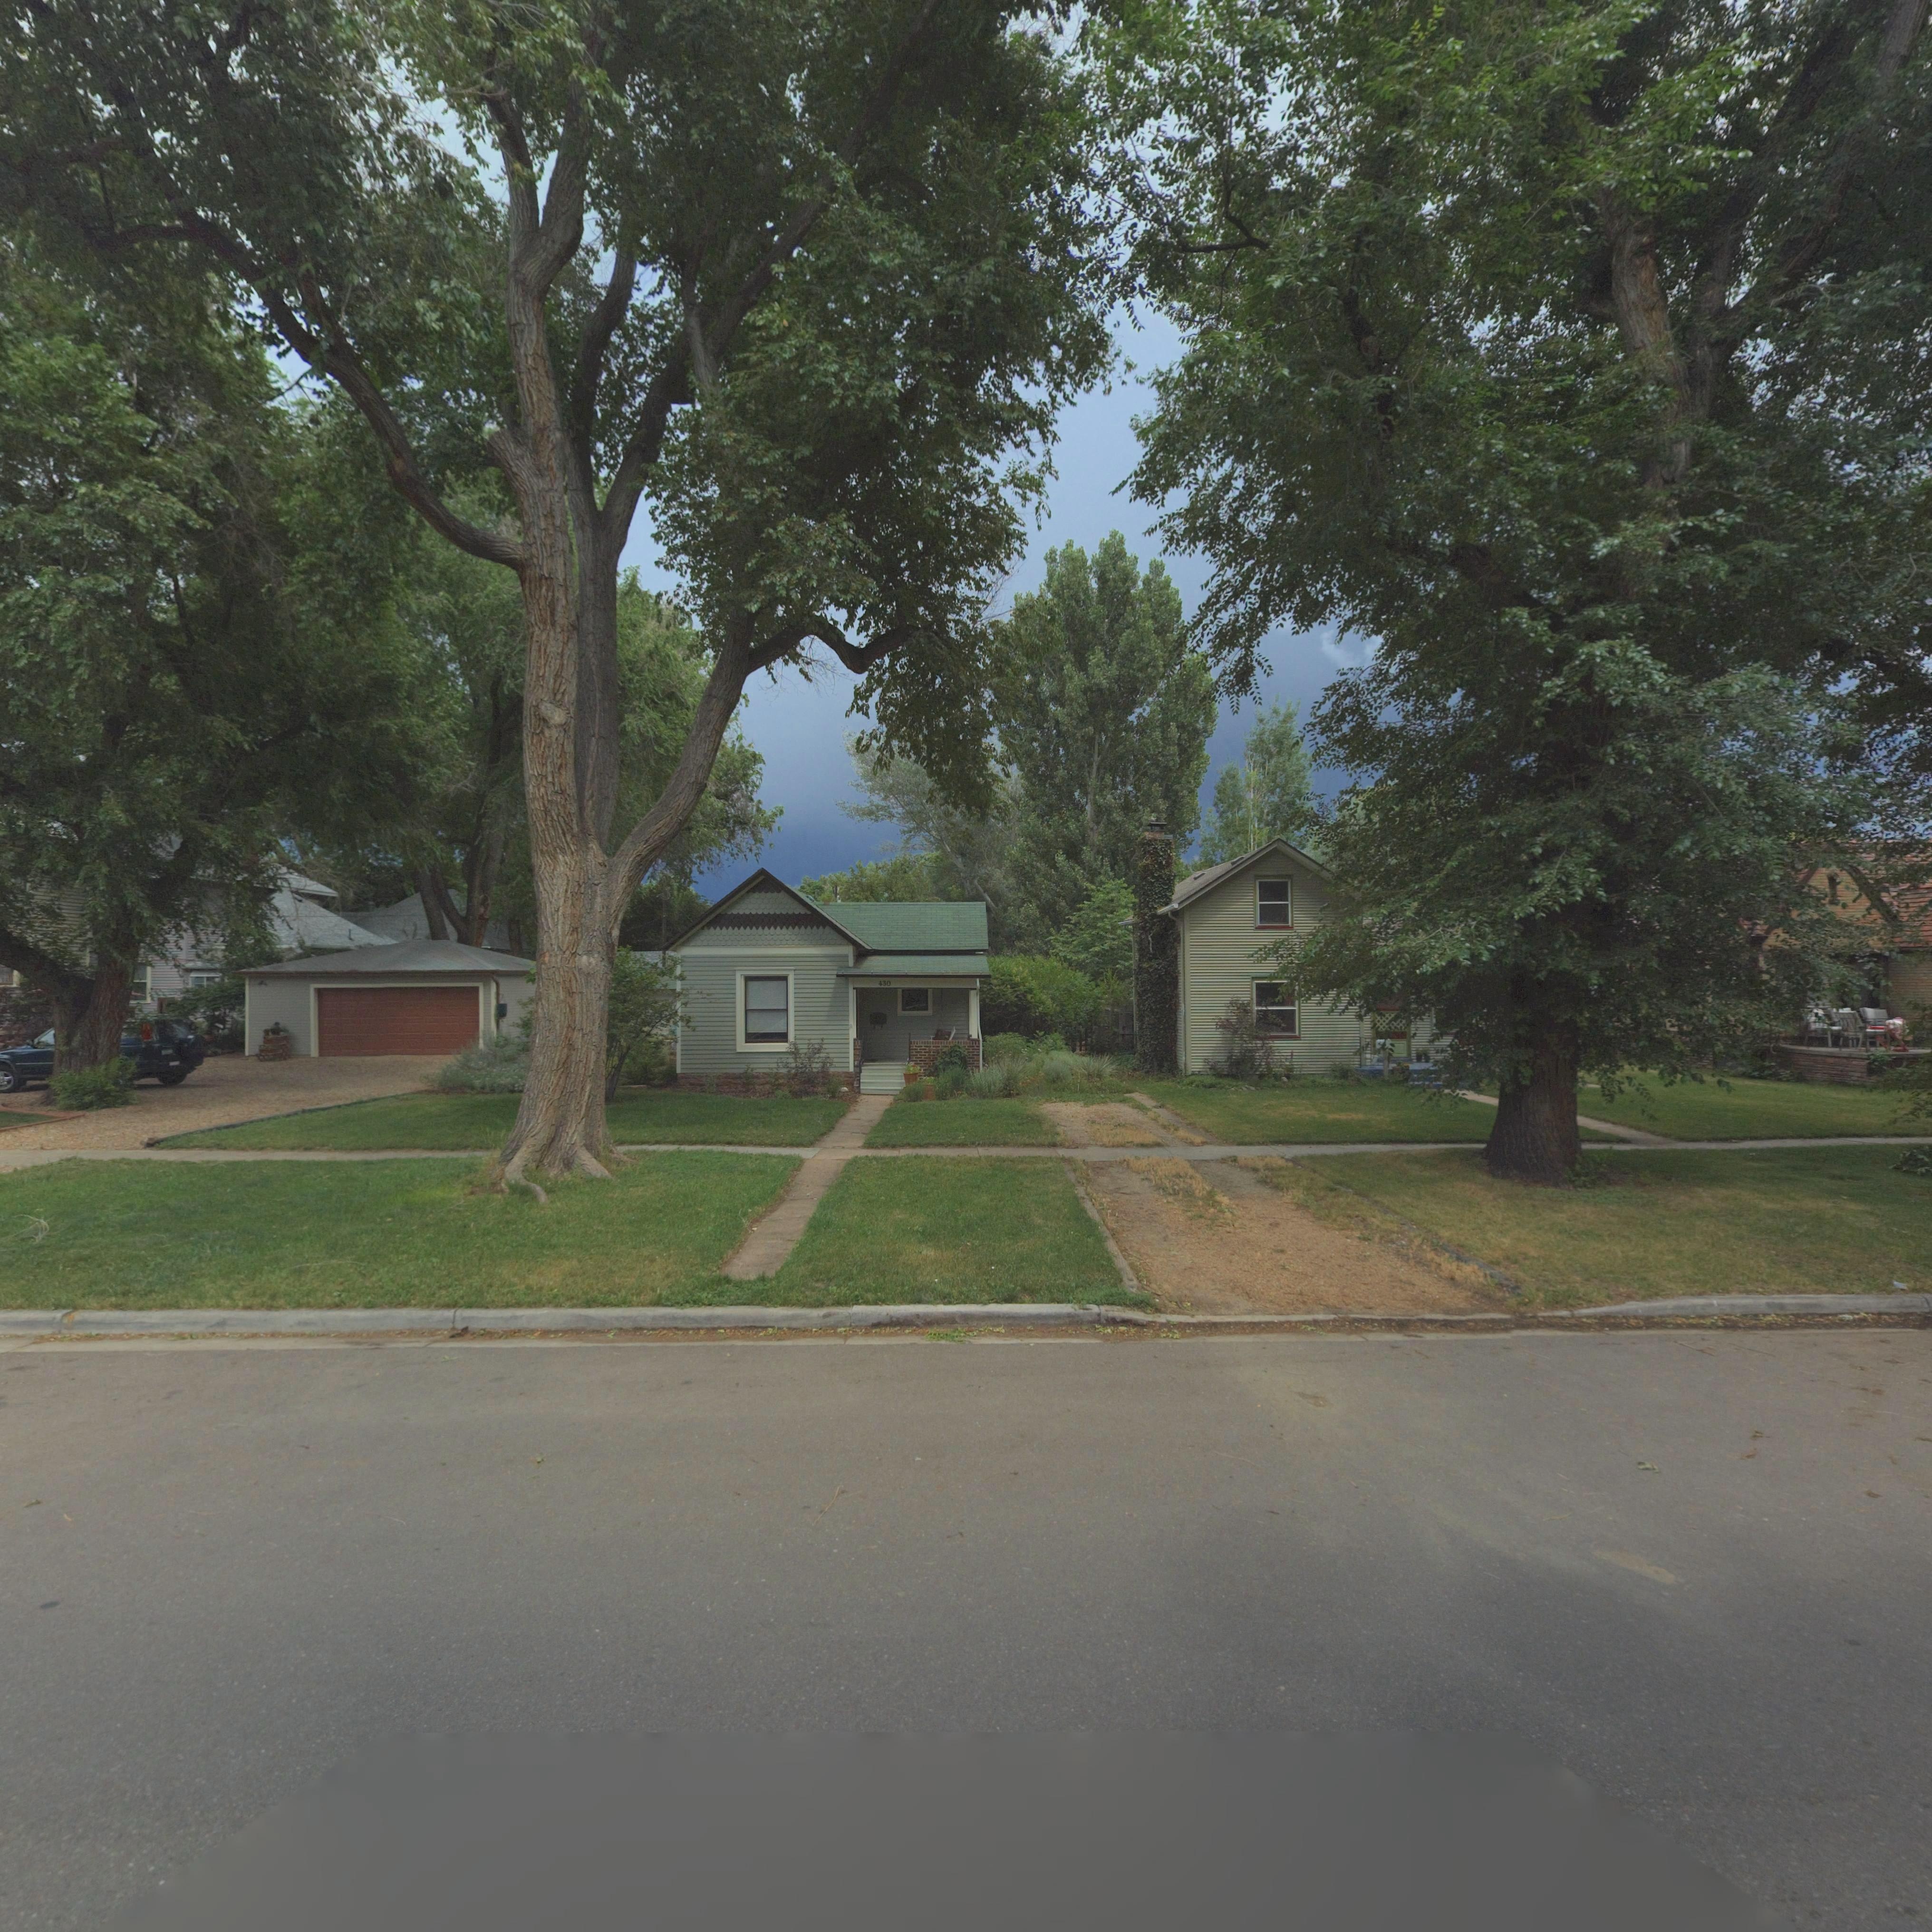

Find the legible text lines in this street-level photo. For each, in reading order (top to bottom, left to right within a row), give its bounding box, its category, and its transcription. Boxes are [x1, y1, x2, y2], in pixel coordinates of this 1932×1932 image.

[877, 980, 891, 986] StreetNumber: 430